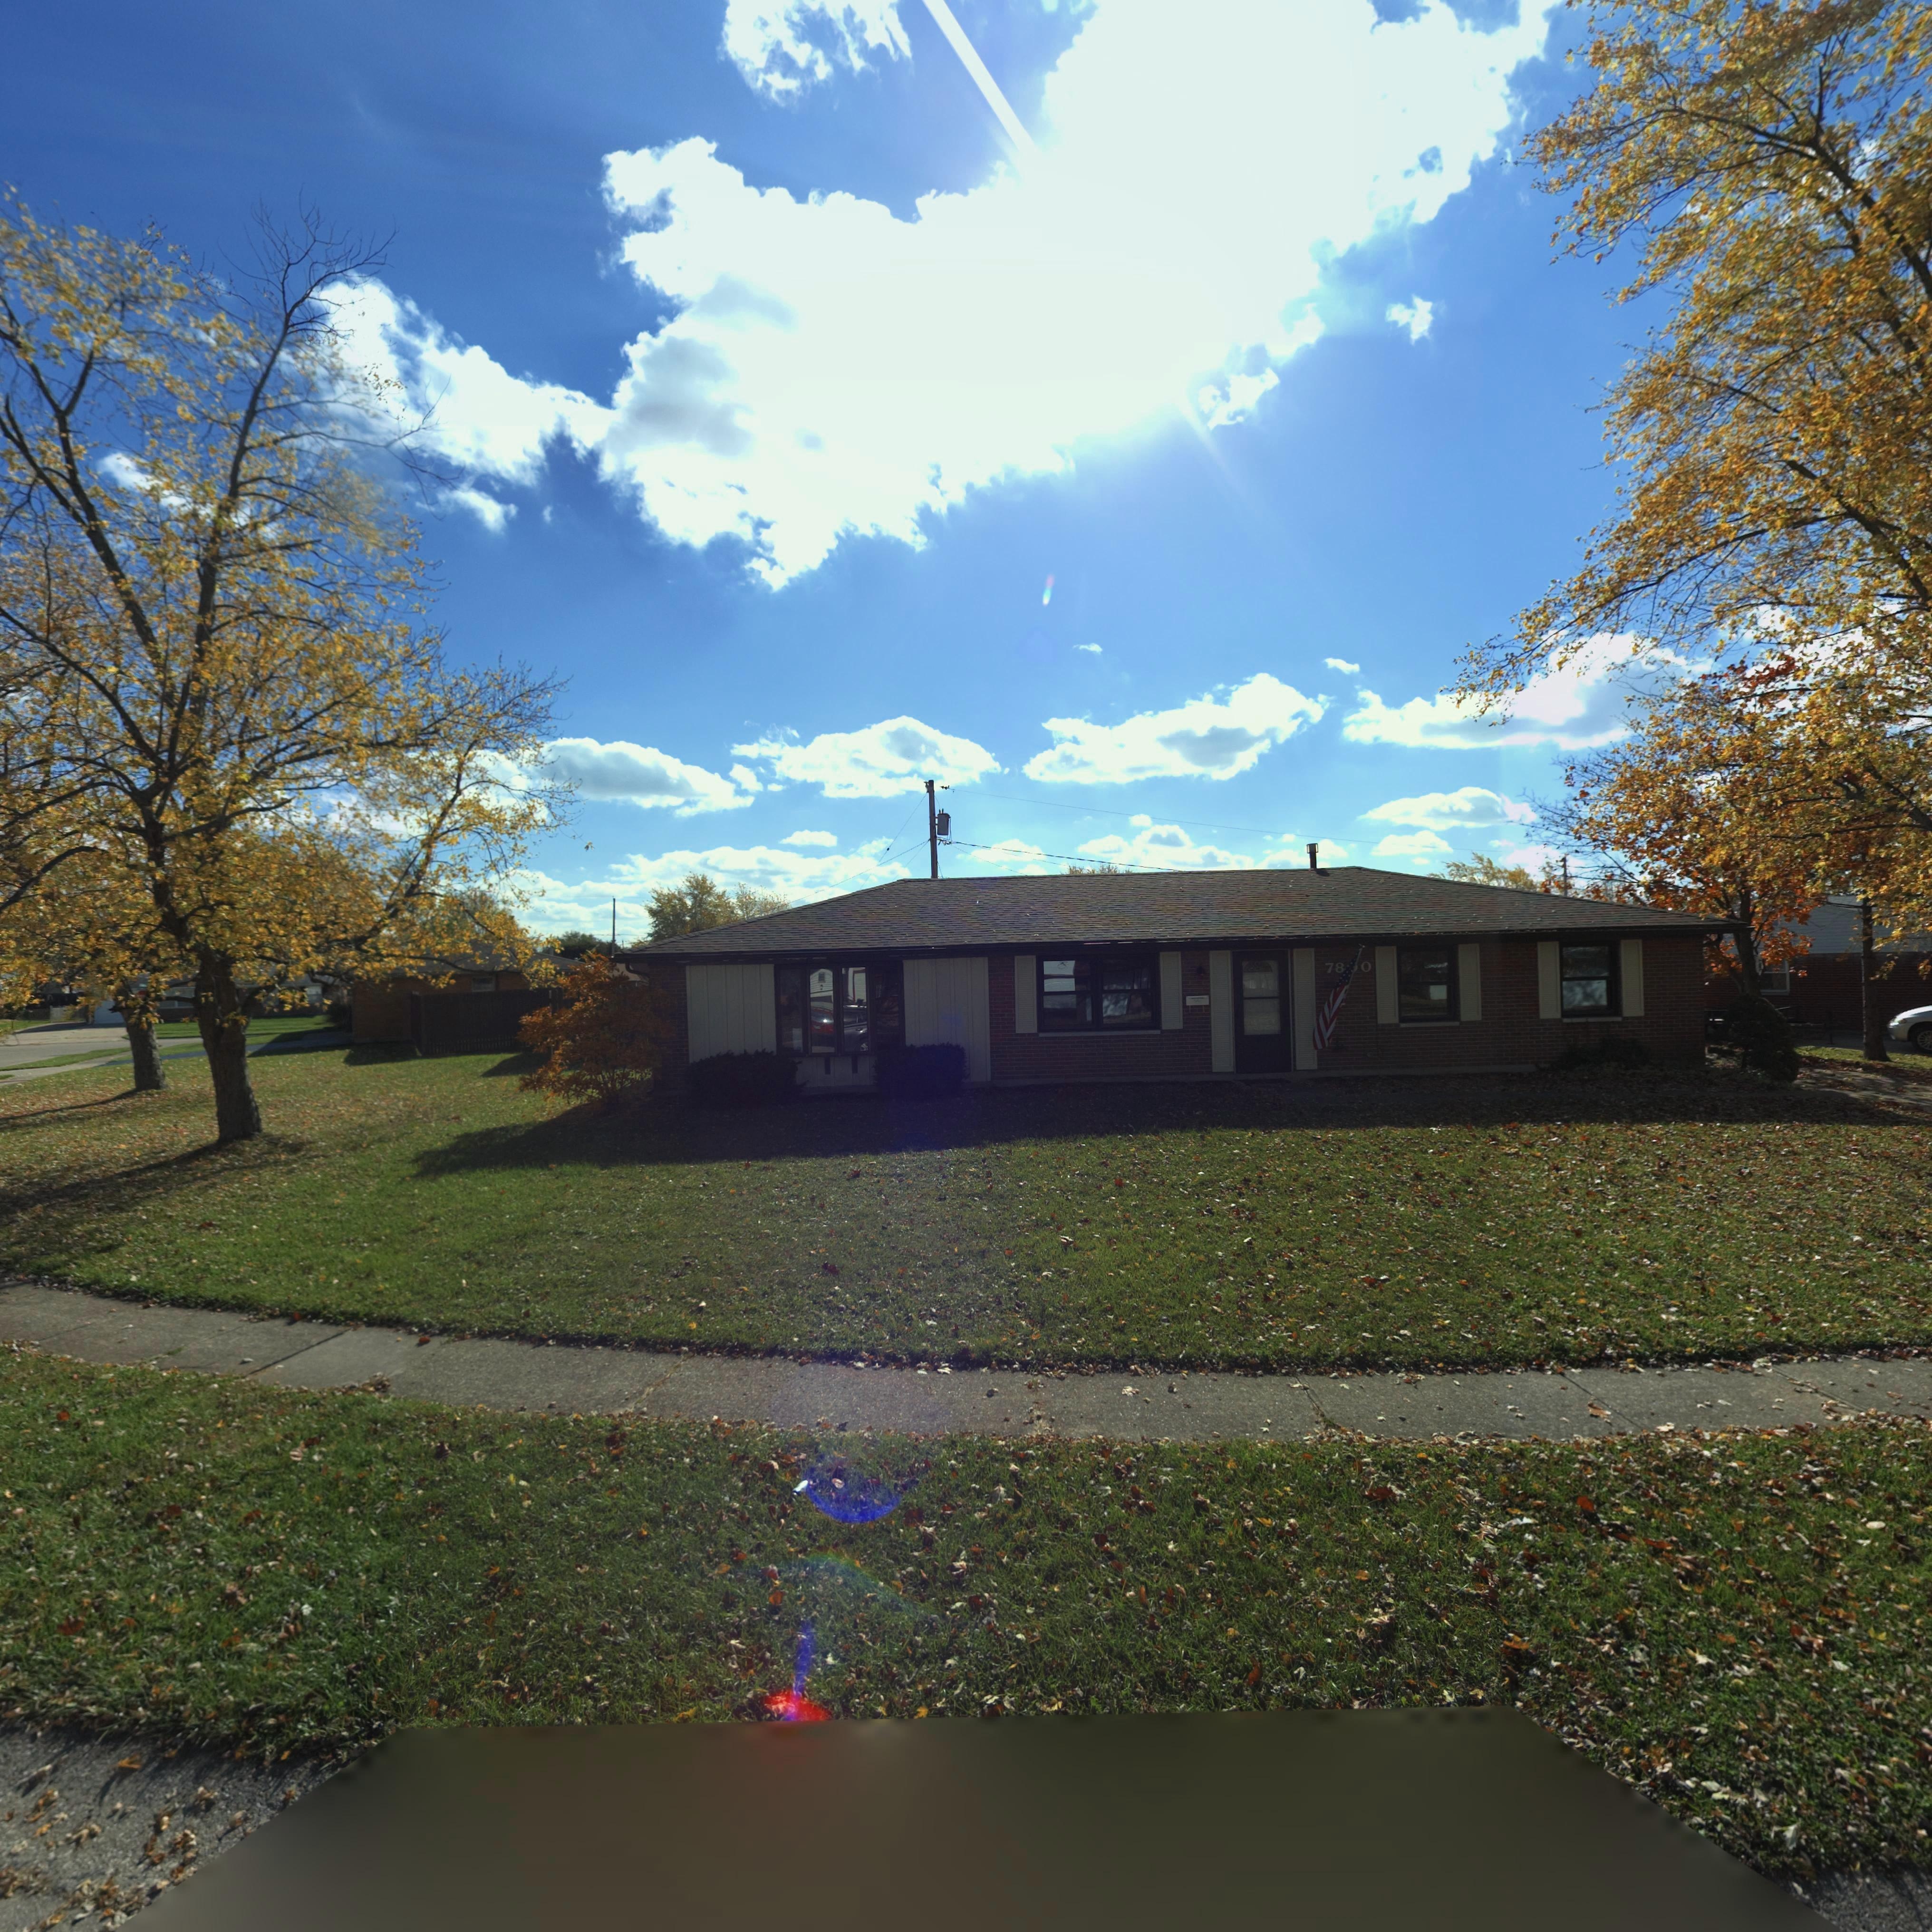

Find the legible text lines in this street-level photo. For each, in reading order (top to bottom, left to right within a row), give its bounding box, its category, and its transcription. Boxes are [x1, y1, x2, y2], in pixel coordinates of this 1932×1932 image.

[1324, 961, 1372, 974] StreetNumber: 78*0